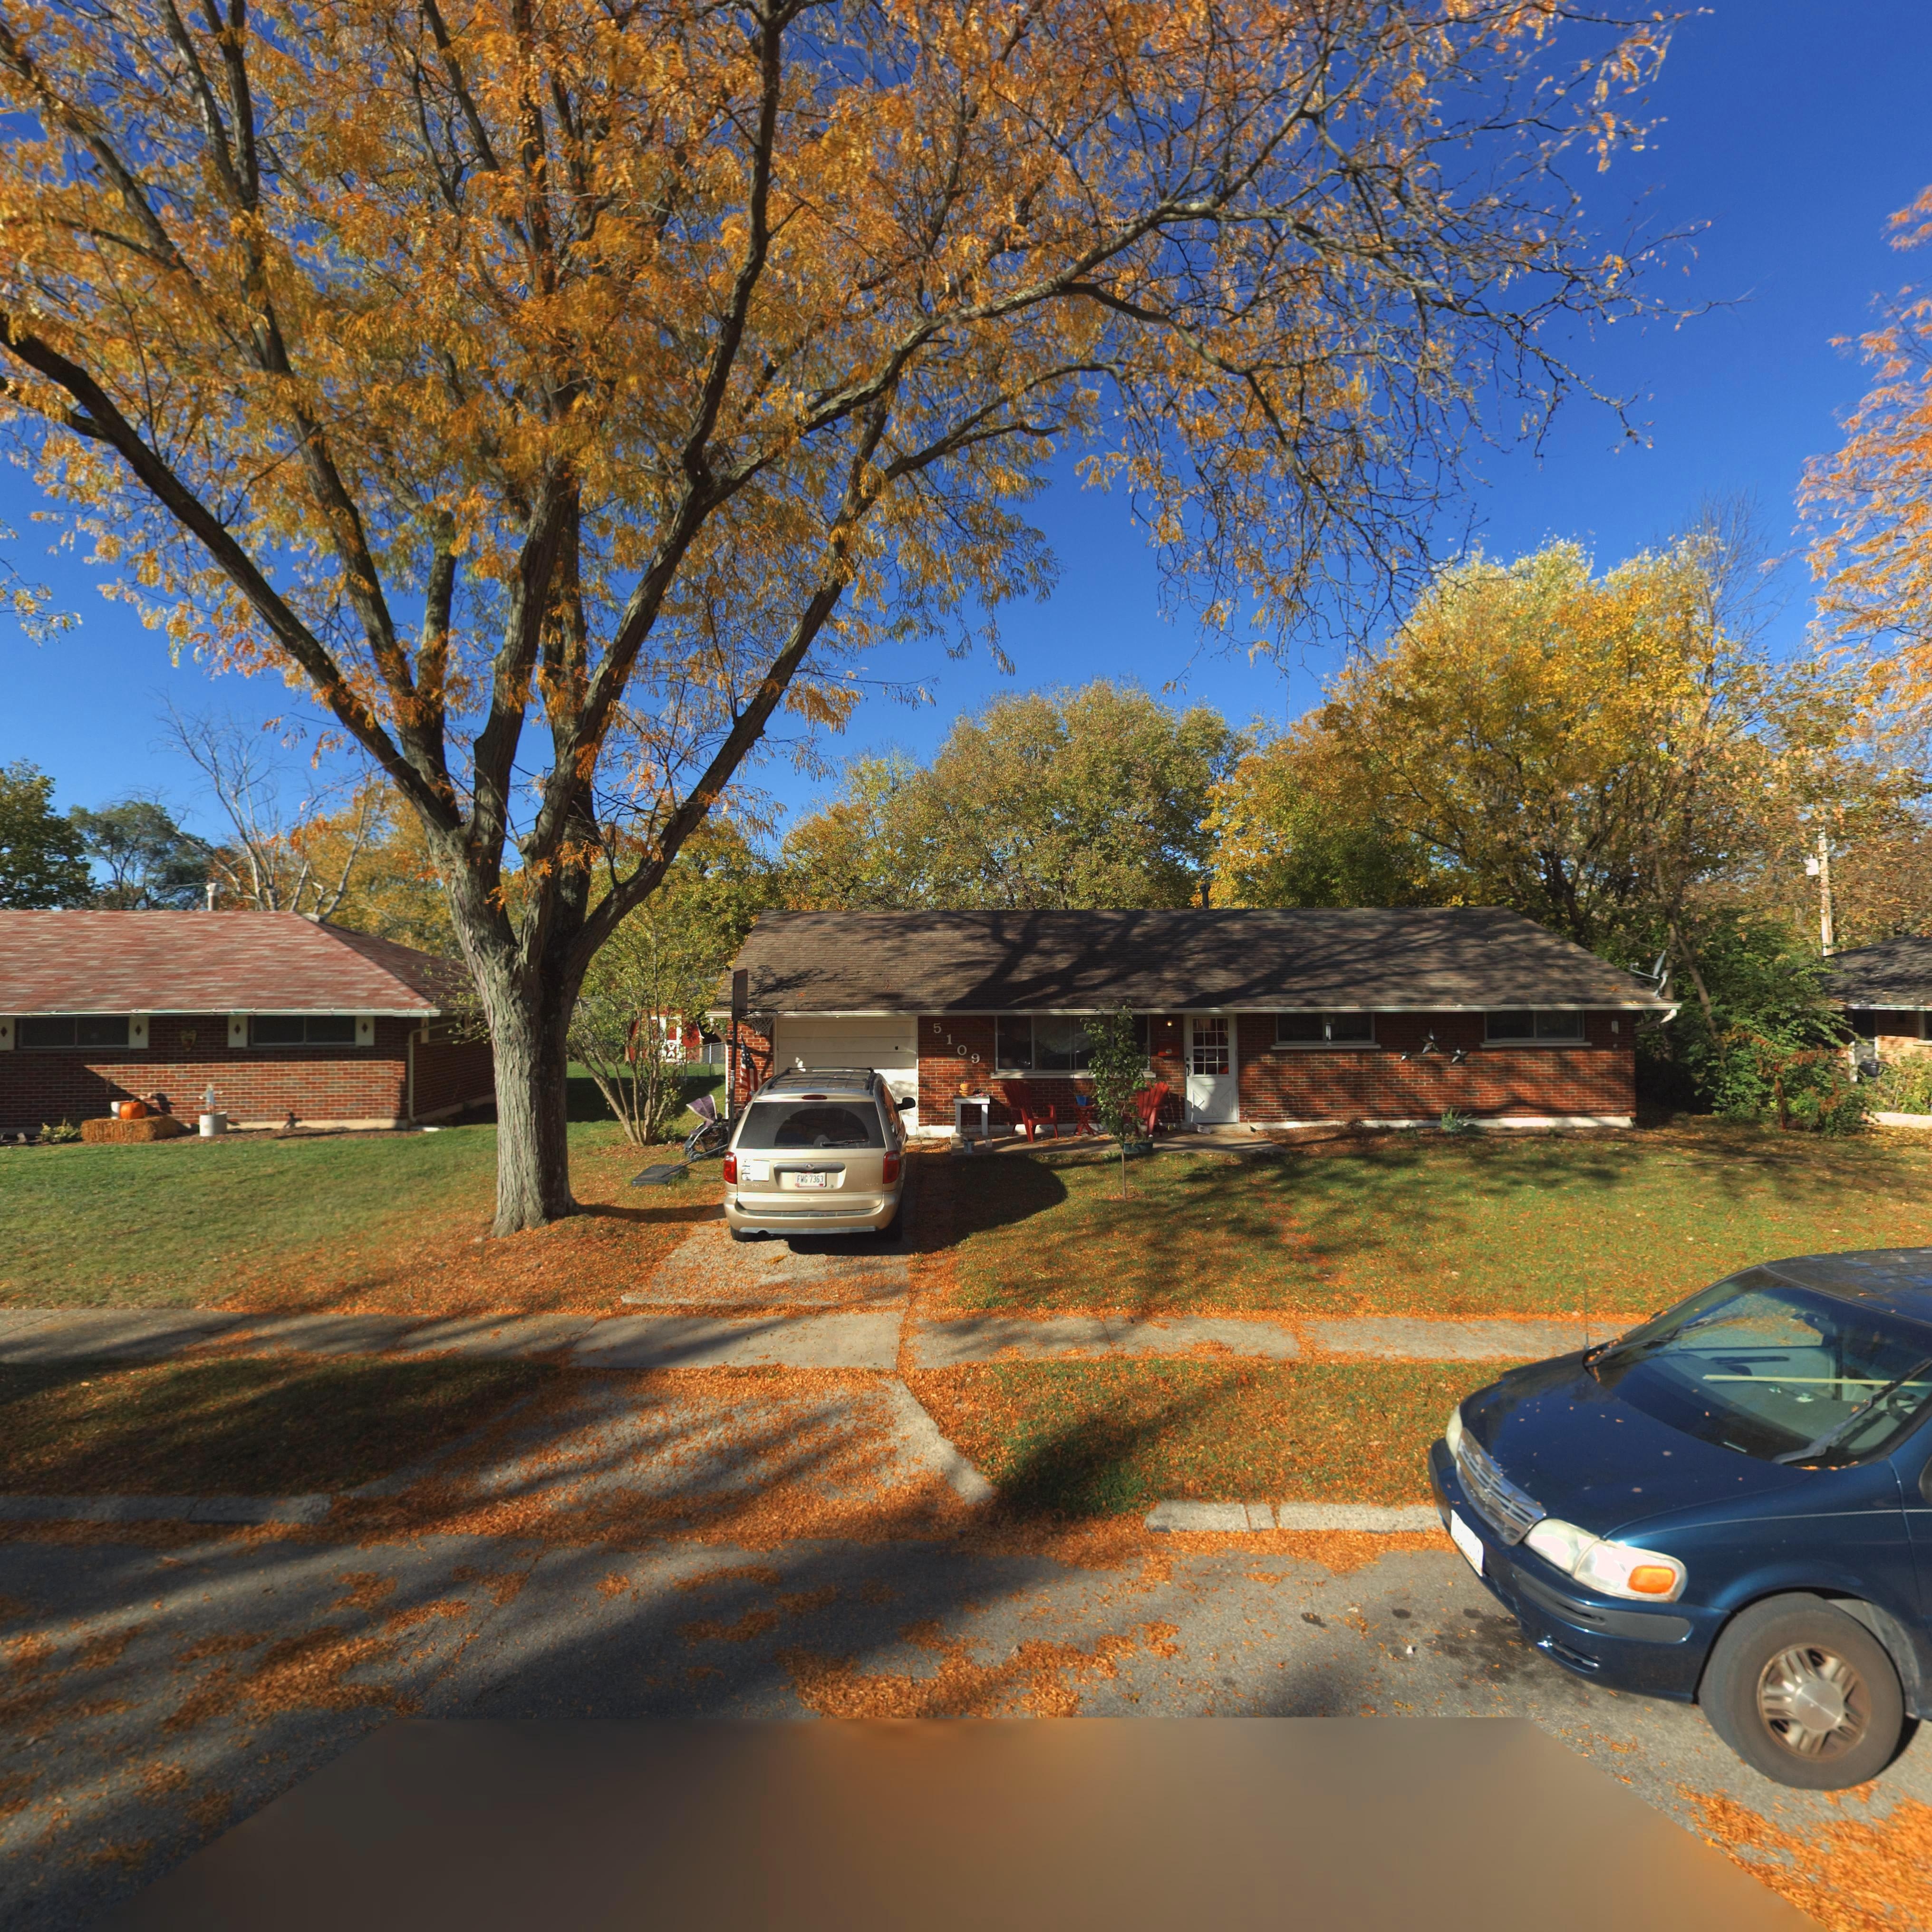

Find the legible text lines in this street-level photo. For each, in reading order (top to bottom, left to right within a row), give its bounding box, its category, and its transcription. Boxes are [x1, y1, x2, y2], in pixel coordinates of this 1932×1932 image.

[933, 1022, 981, 1064] StreetNumber: 5109